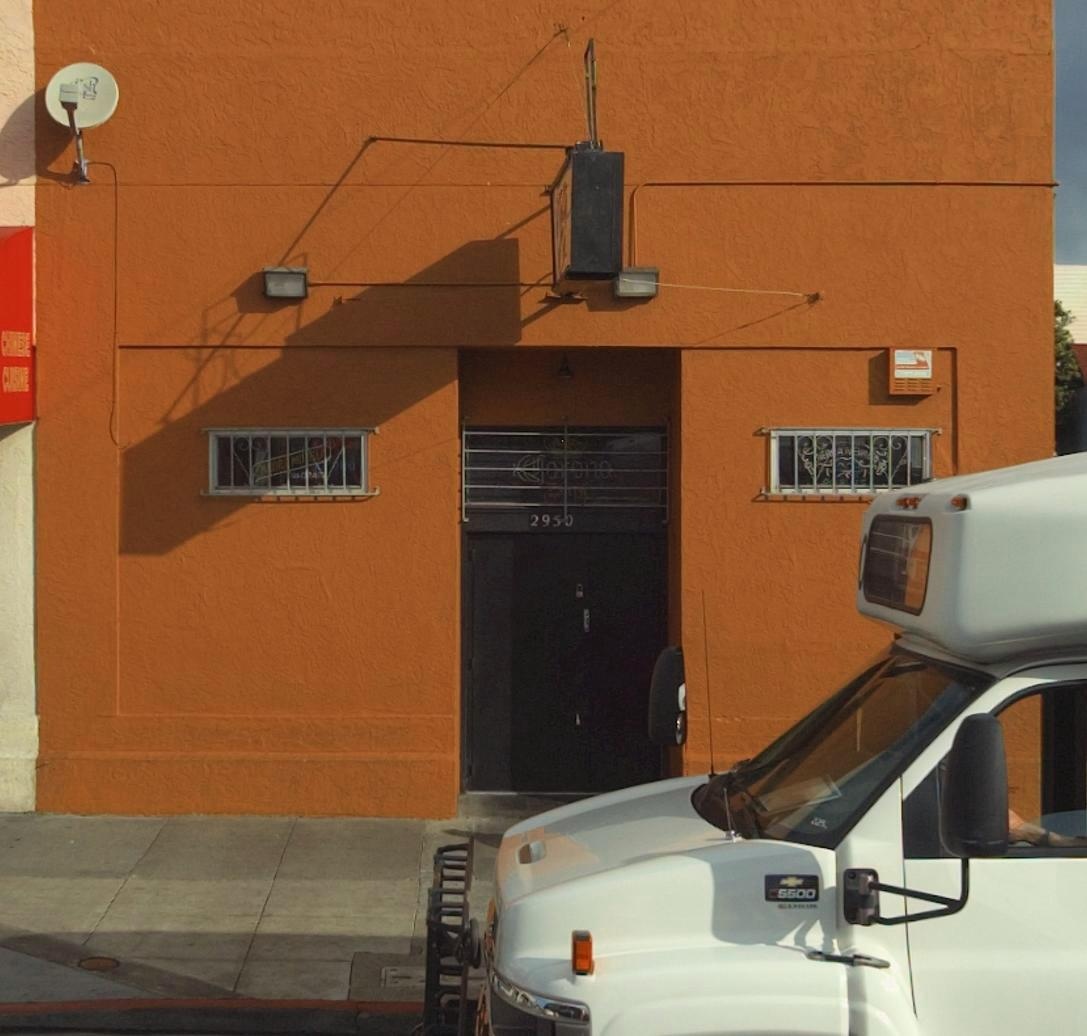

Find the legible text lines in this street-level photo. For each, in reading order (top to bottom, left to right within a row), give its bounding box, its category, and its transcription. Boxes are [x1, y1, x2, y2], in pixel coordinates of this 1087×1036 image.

[530, 514, 575, 527] StreetNumber: 2950
[777, 887, 816, 898] None: 5500